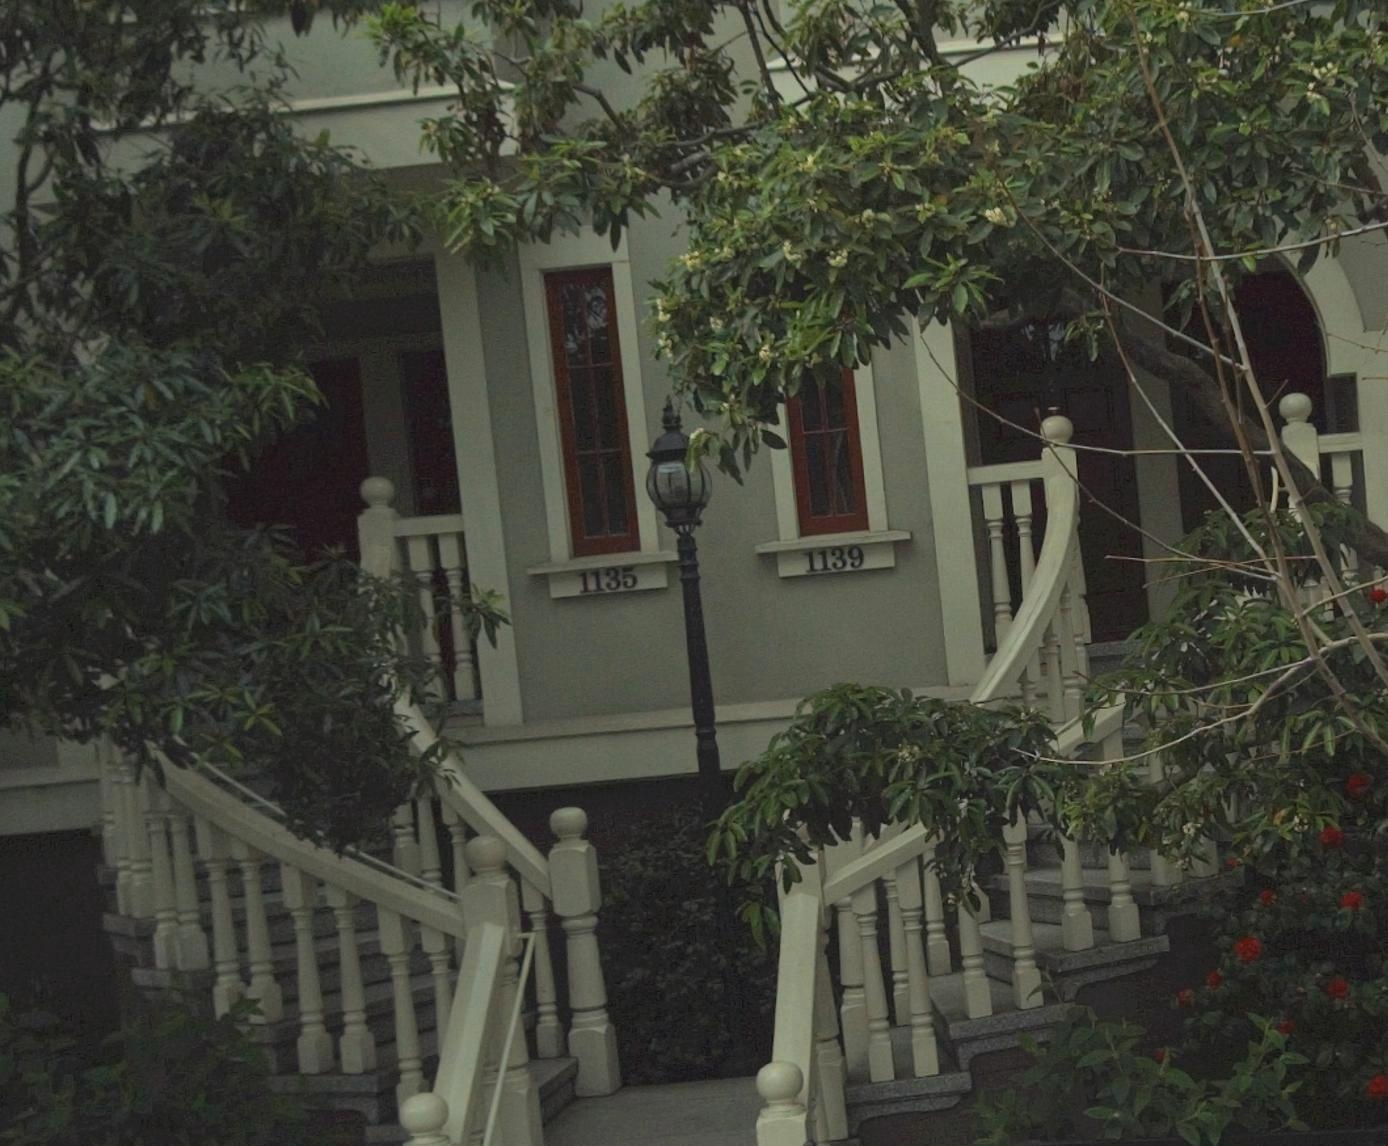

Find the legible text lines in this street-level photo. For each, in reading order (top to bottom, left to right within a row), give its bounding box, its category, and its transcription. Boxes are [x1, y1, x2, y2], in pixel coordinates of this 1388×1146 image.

[802, 544, 866, 576] StreetNumber: 1139
[576, 563, 640, 597] StreetNumber: 1135